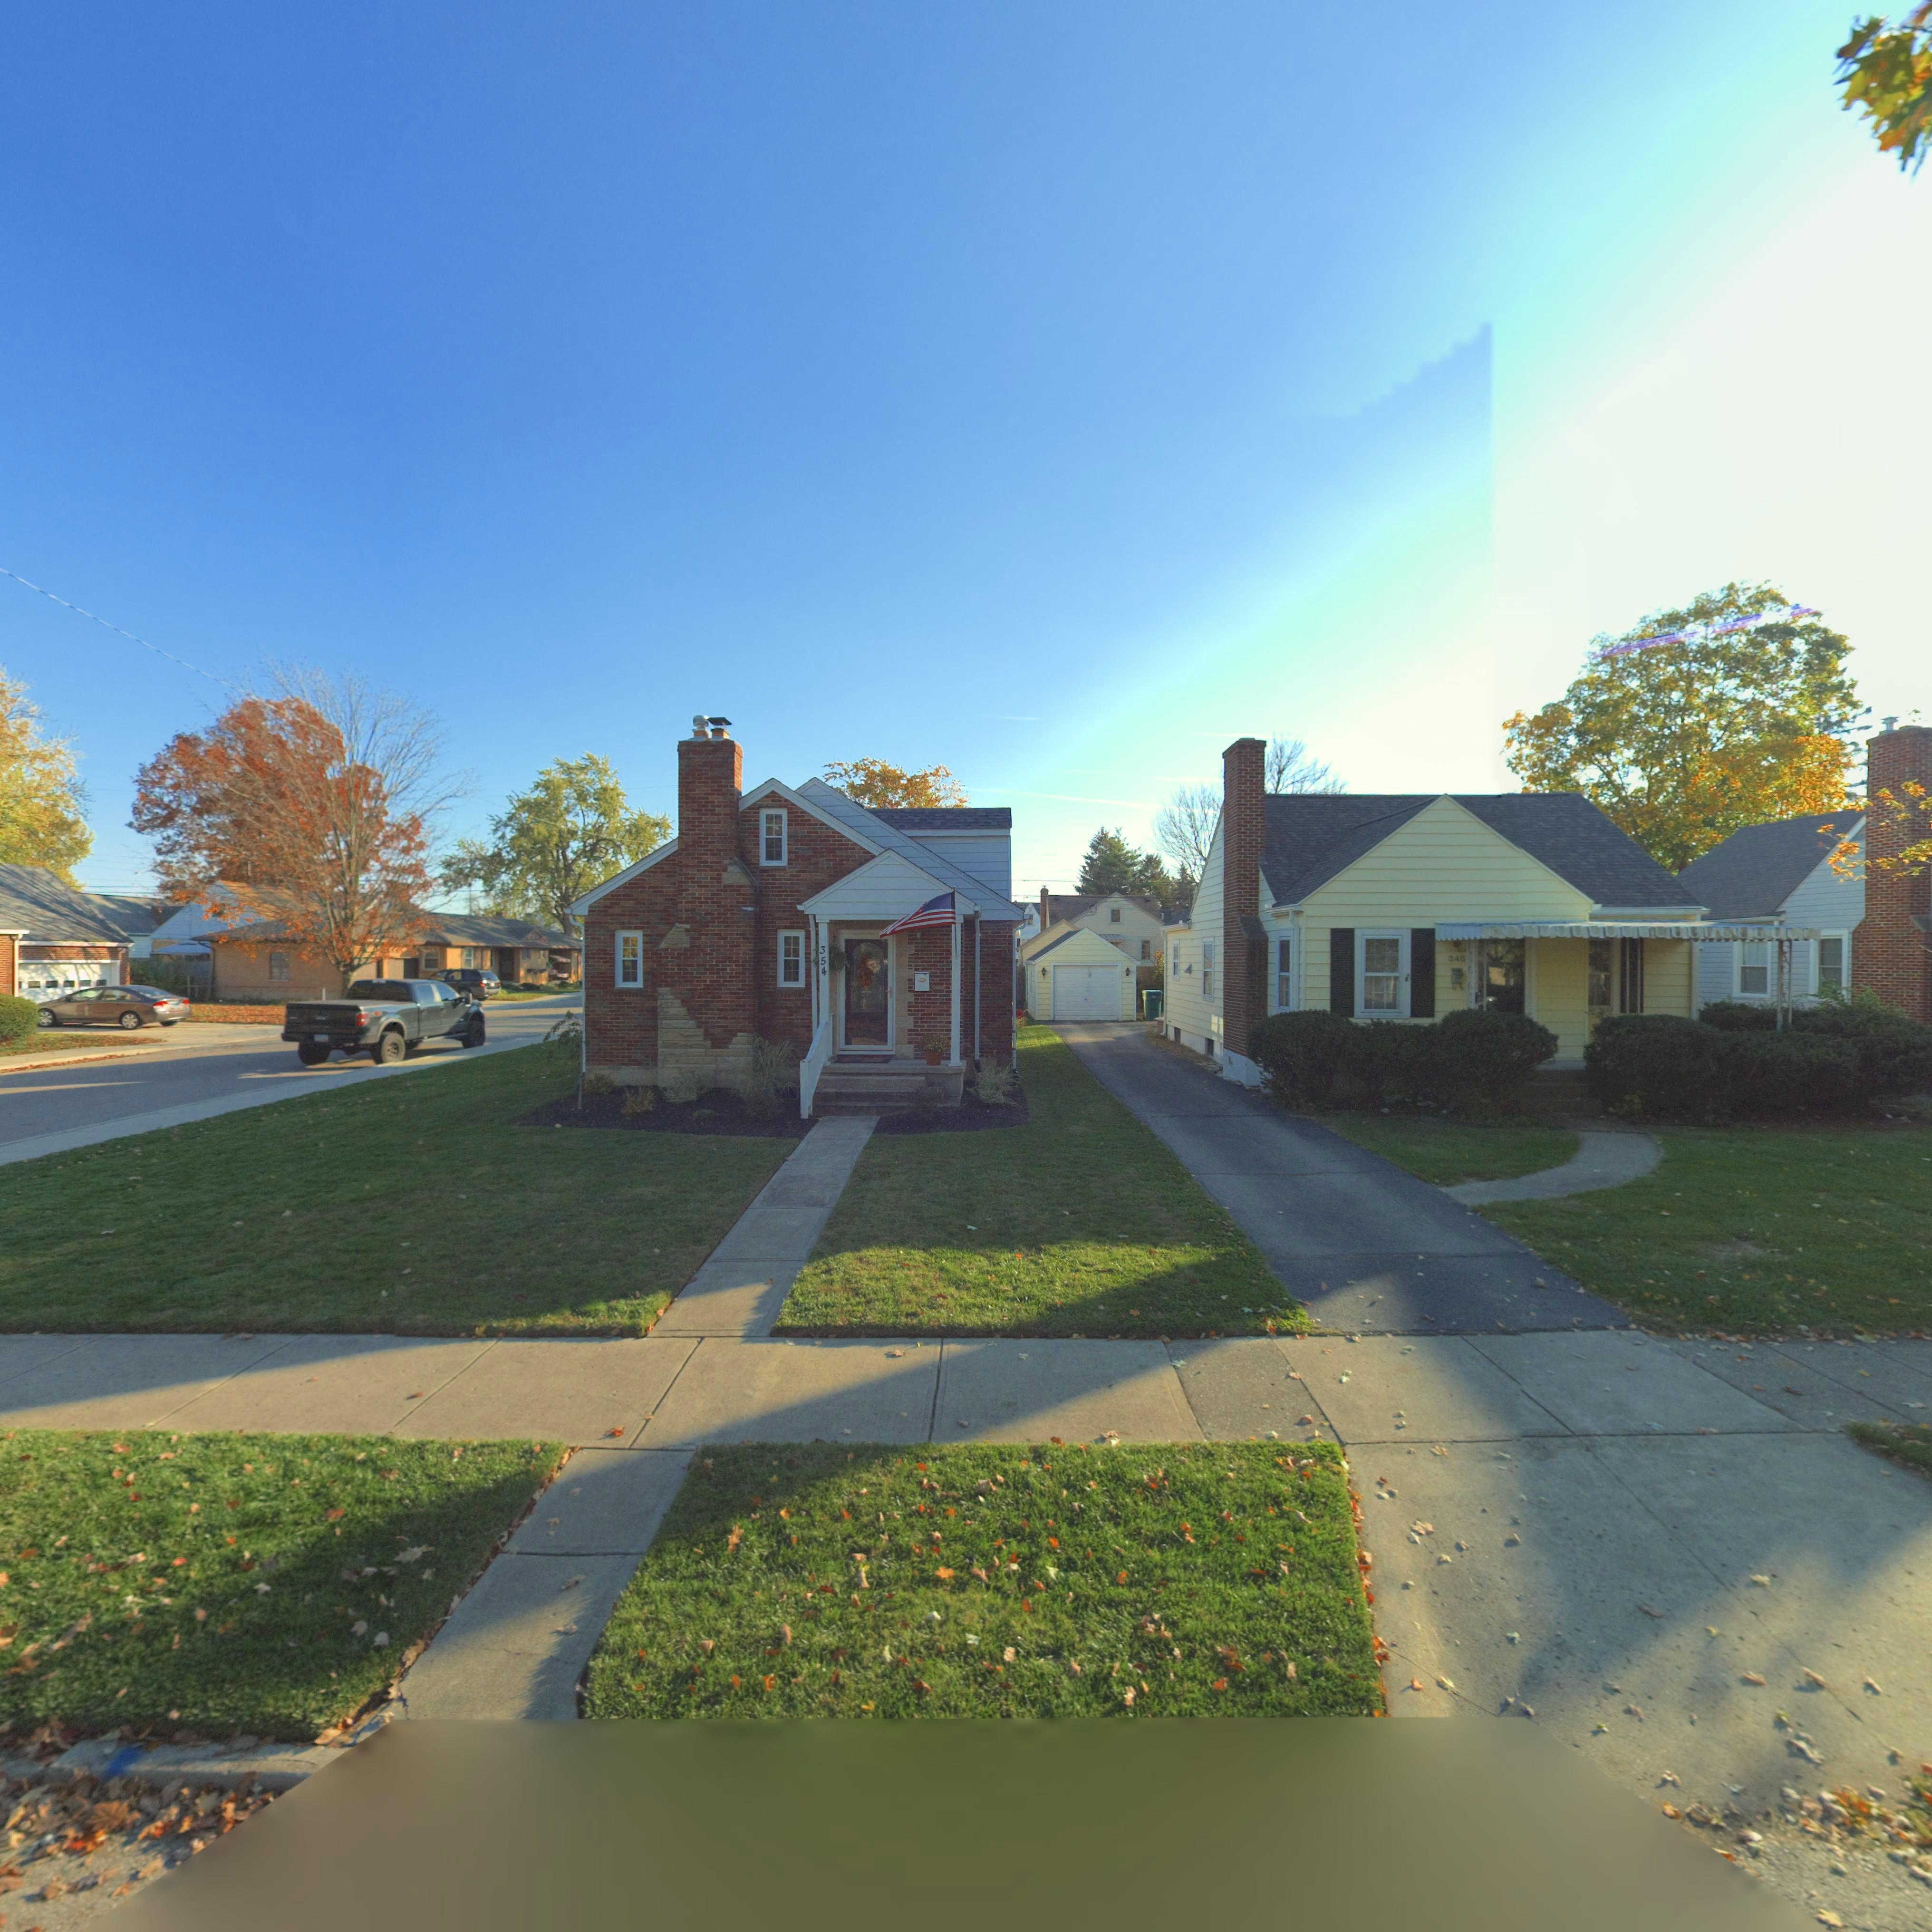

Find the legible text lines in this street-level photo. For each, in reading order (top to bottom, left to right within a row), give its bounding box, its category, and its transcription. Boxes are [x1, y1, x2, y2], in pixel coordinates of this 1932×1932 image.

[819, 945, 828, 976] StreetNumber: 354
[1448, 954, 1466, 962] StreetNumber: 348